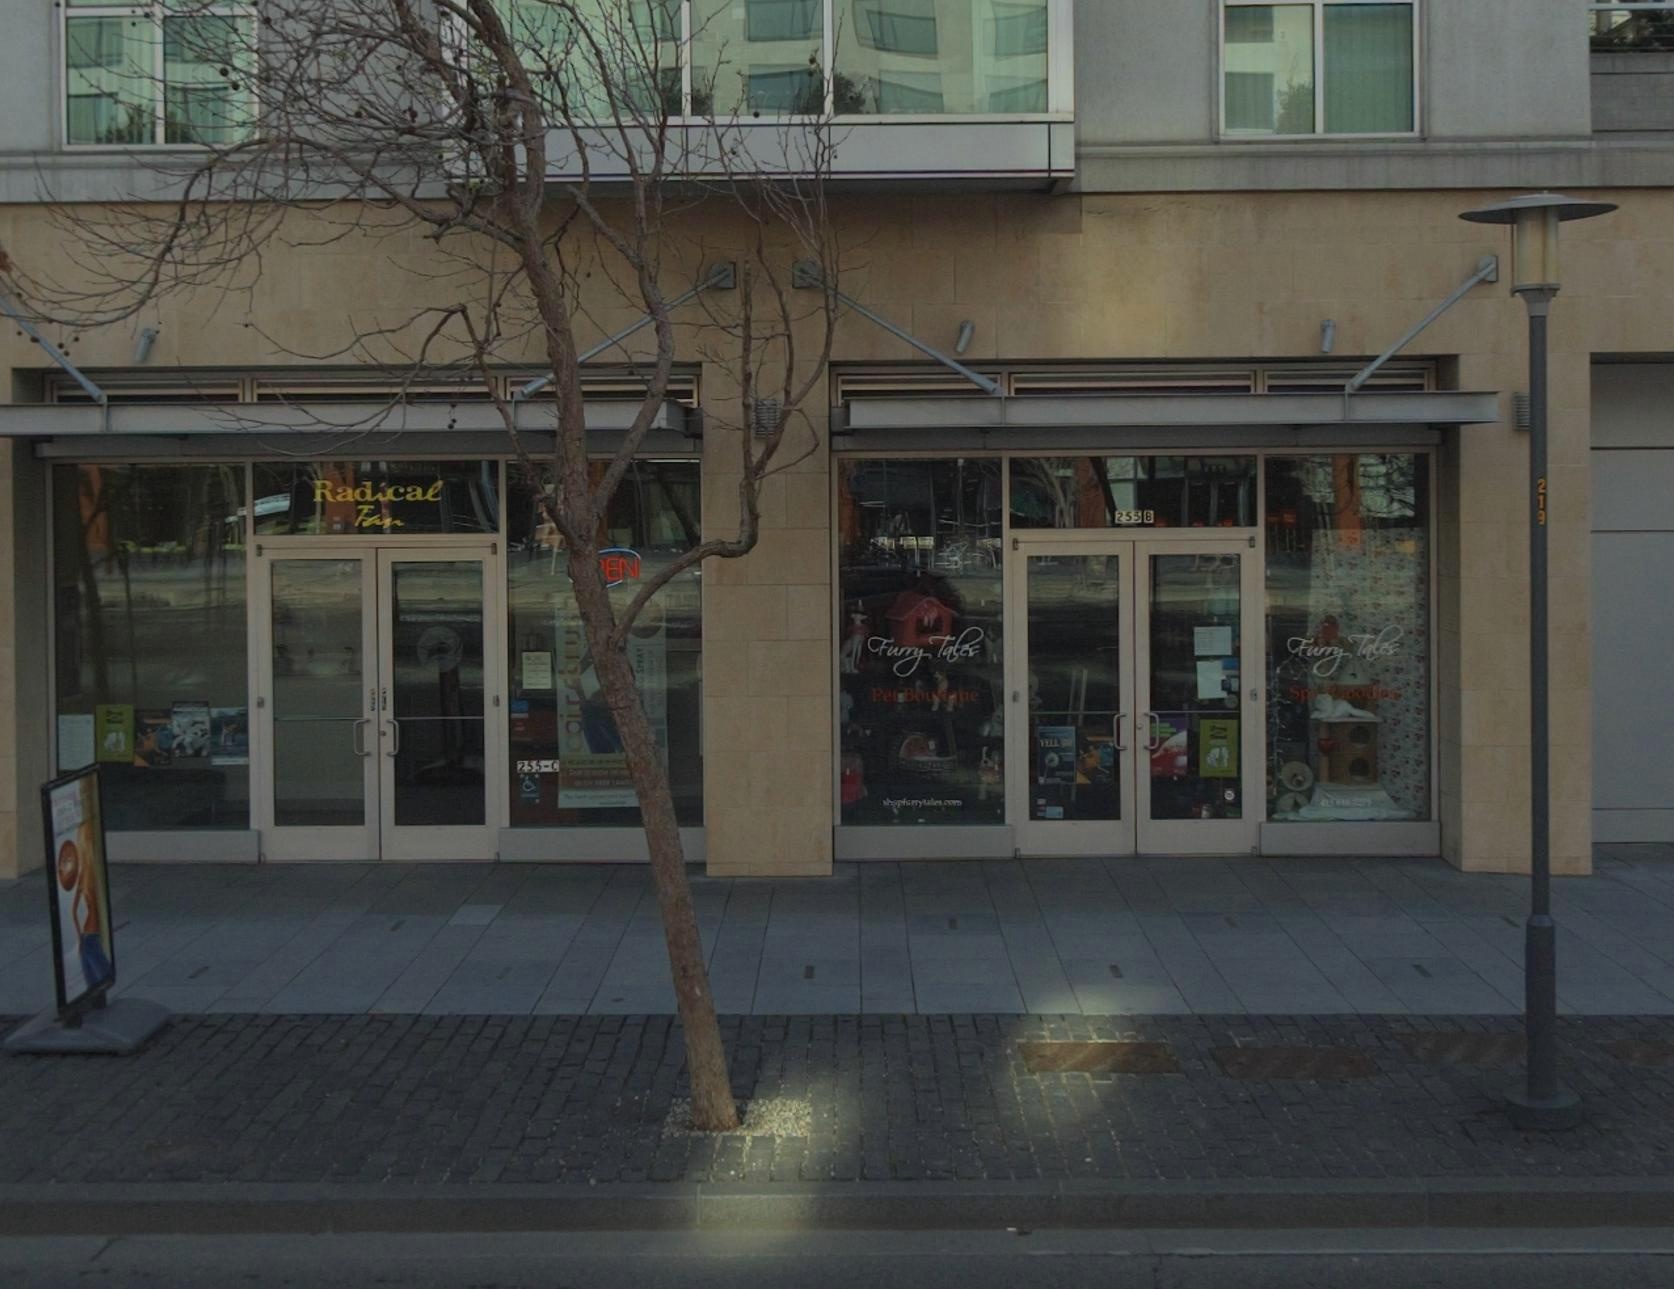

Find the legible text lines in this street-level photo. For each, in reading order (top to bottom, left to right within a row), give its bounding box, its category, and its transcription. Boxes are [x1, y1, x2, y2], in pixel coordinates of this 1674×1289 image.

[309, 477, 445, 504] BusinessName: Radical
[348, 503, 408, 532] BusinessName: Tan
[1114, 509, 1154, 524] StreetNumber: 25* B
[604, 554, 641, 583] None: EN
[875, 625, 987, 680] BusinessName: Furry Ta***
[1293, 621, 1406, 681] BusinessName: Furry Ta***
[563, 691, 582, 707] None: r
[869, 684, 982, 710] None: Pet Bou***ue
[1287, 682, 1402, 706] None: Sp* *ood***
[516, 758, 560, 774] StreetNumber: 255-C